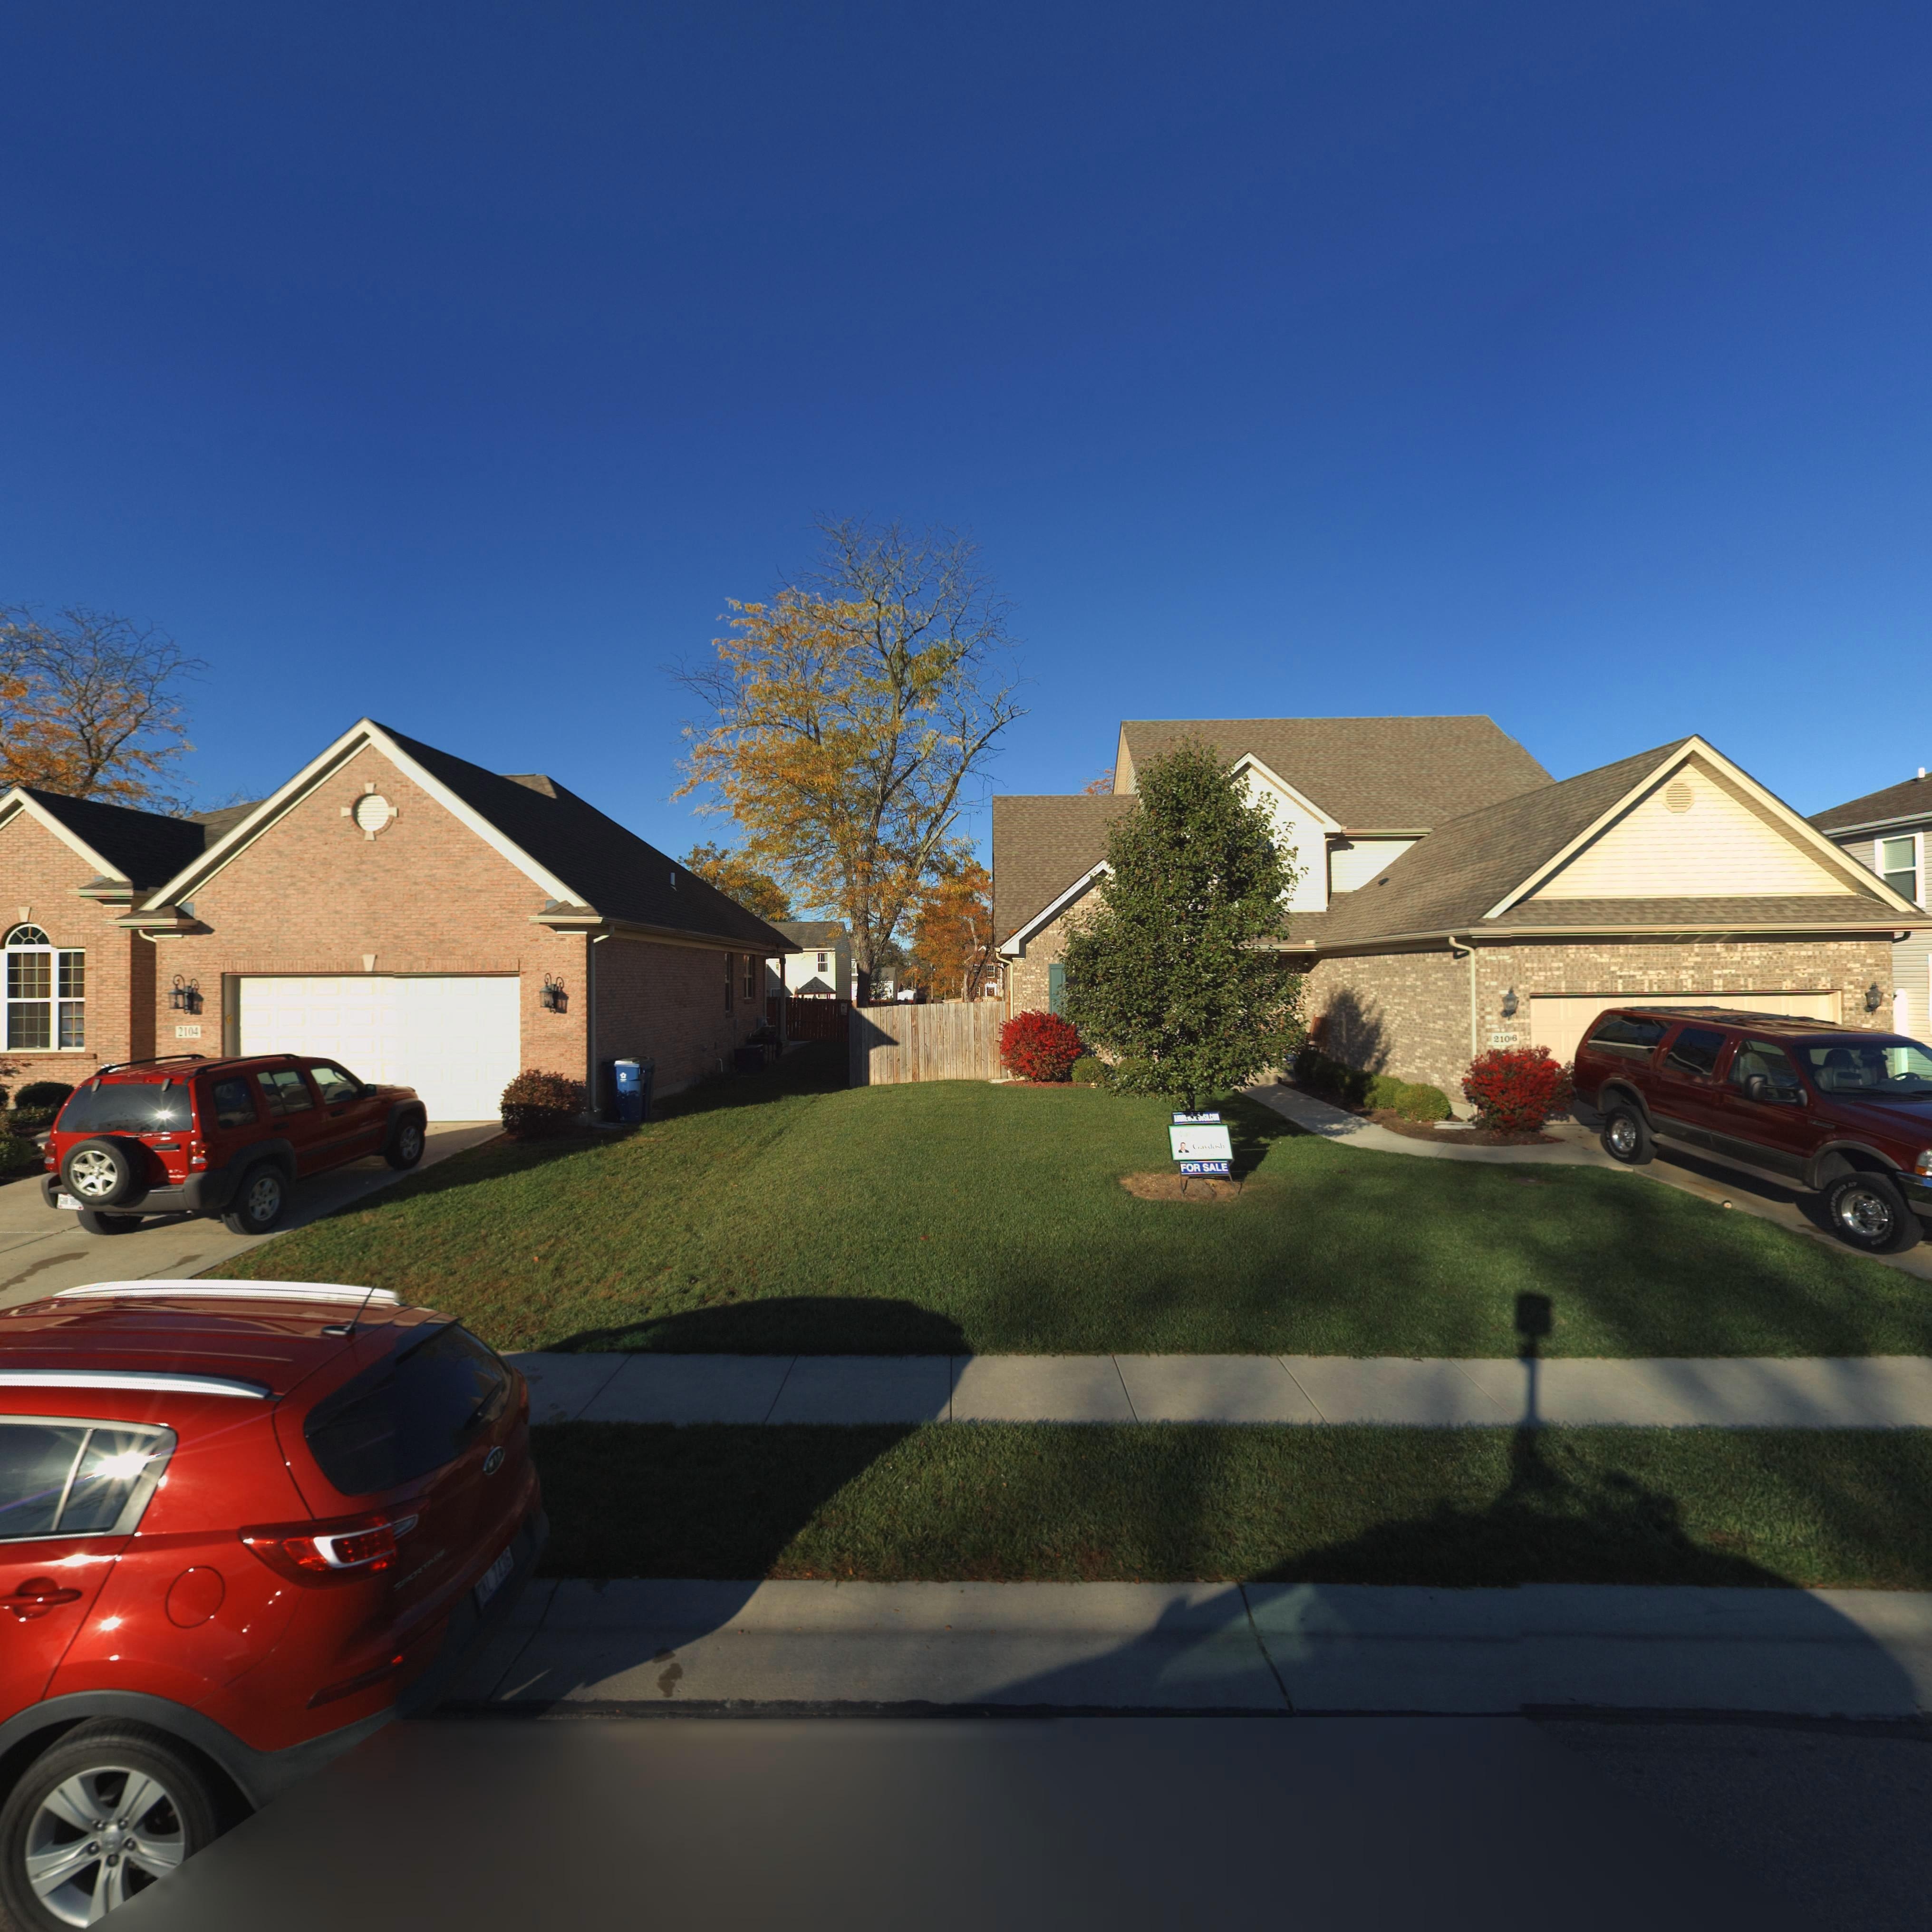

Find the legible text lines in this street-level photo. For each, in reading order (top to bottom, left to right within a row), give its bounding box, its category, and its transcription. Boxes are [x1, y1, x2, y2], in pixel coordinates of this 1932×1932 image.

[177, 1025, 200, 1038] StreetNumber: 2104
[1492, 1033, 1518, 1044] StreetNumber: 210*